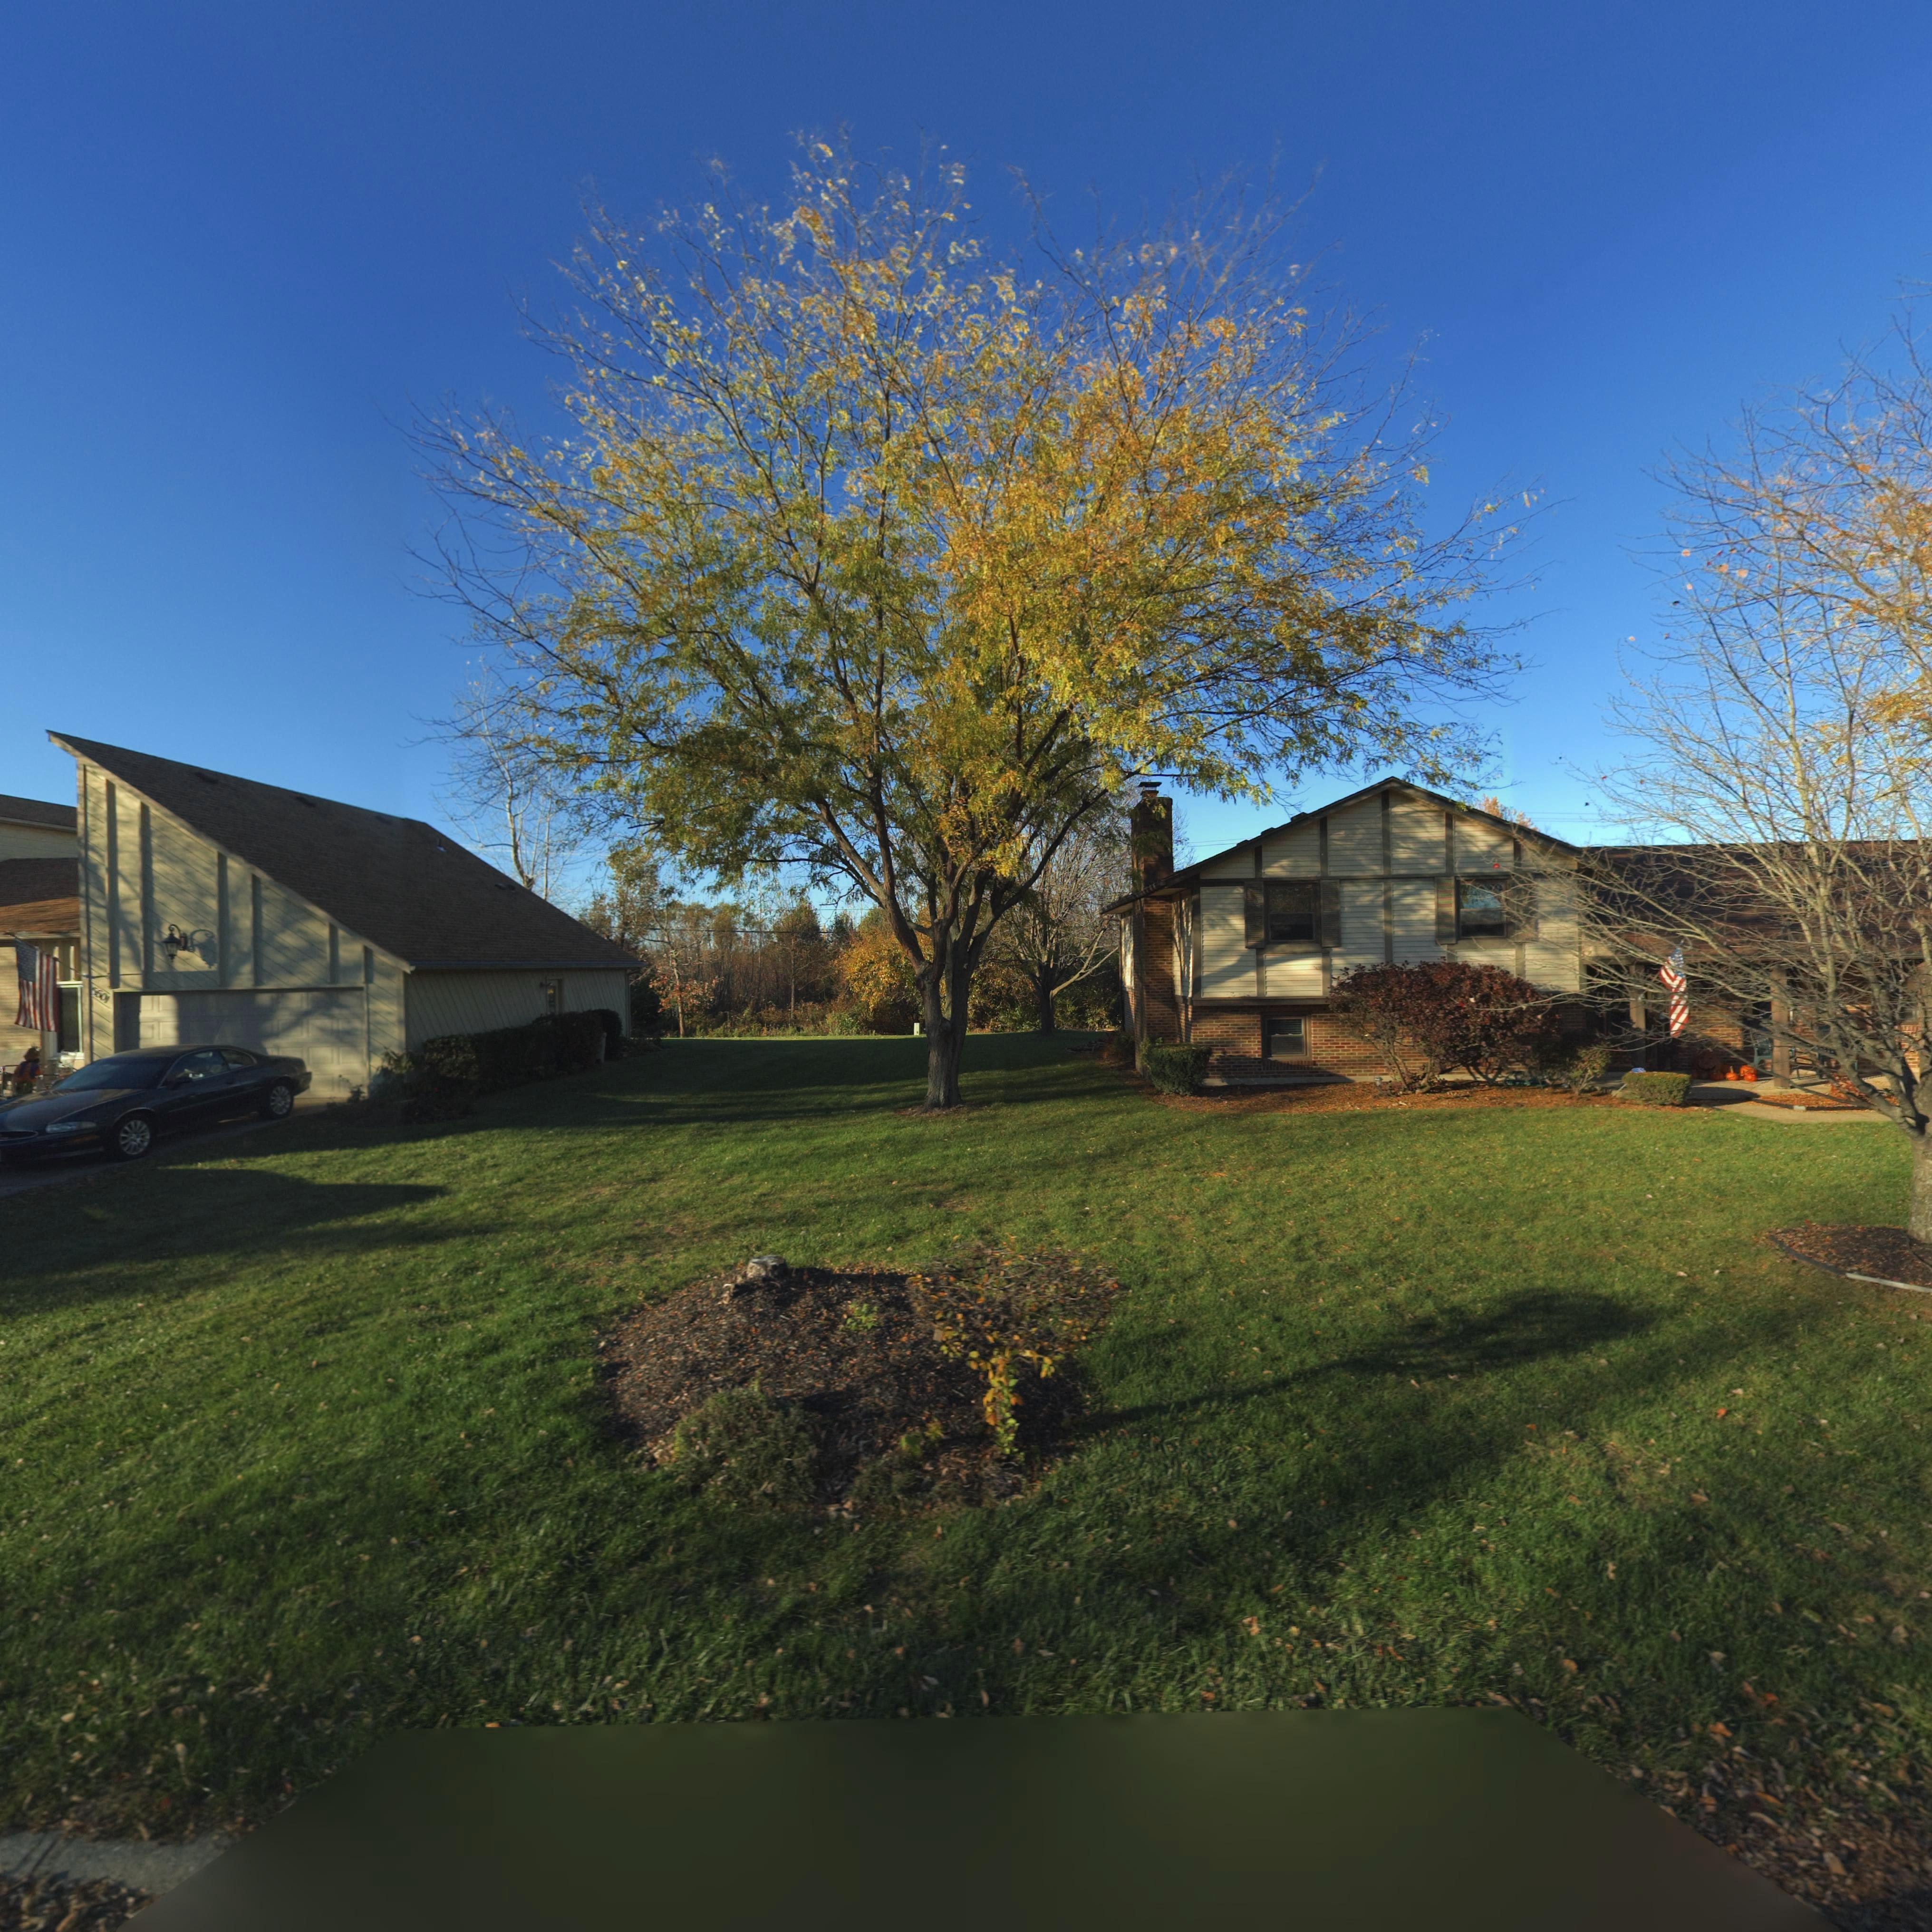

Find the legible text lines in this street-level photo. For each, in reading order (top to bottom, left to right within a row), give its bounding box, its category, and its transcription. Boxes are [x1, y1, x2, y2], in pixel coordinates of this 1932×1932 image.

[88, 986, 111, 1005] StreetNumber: 5601